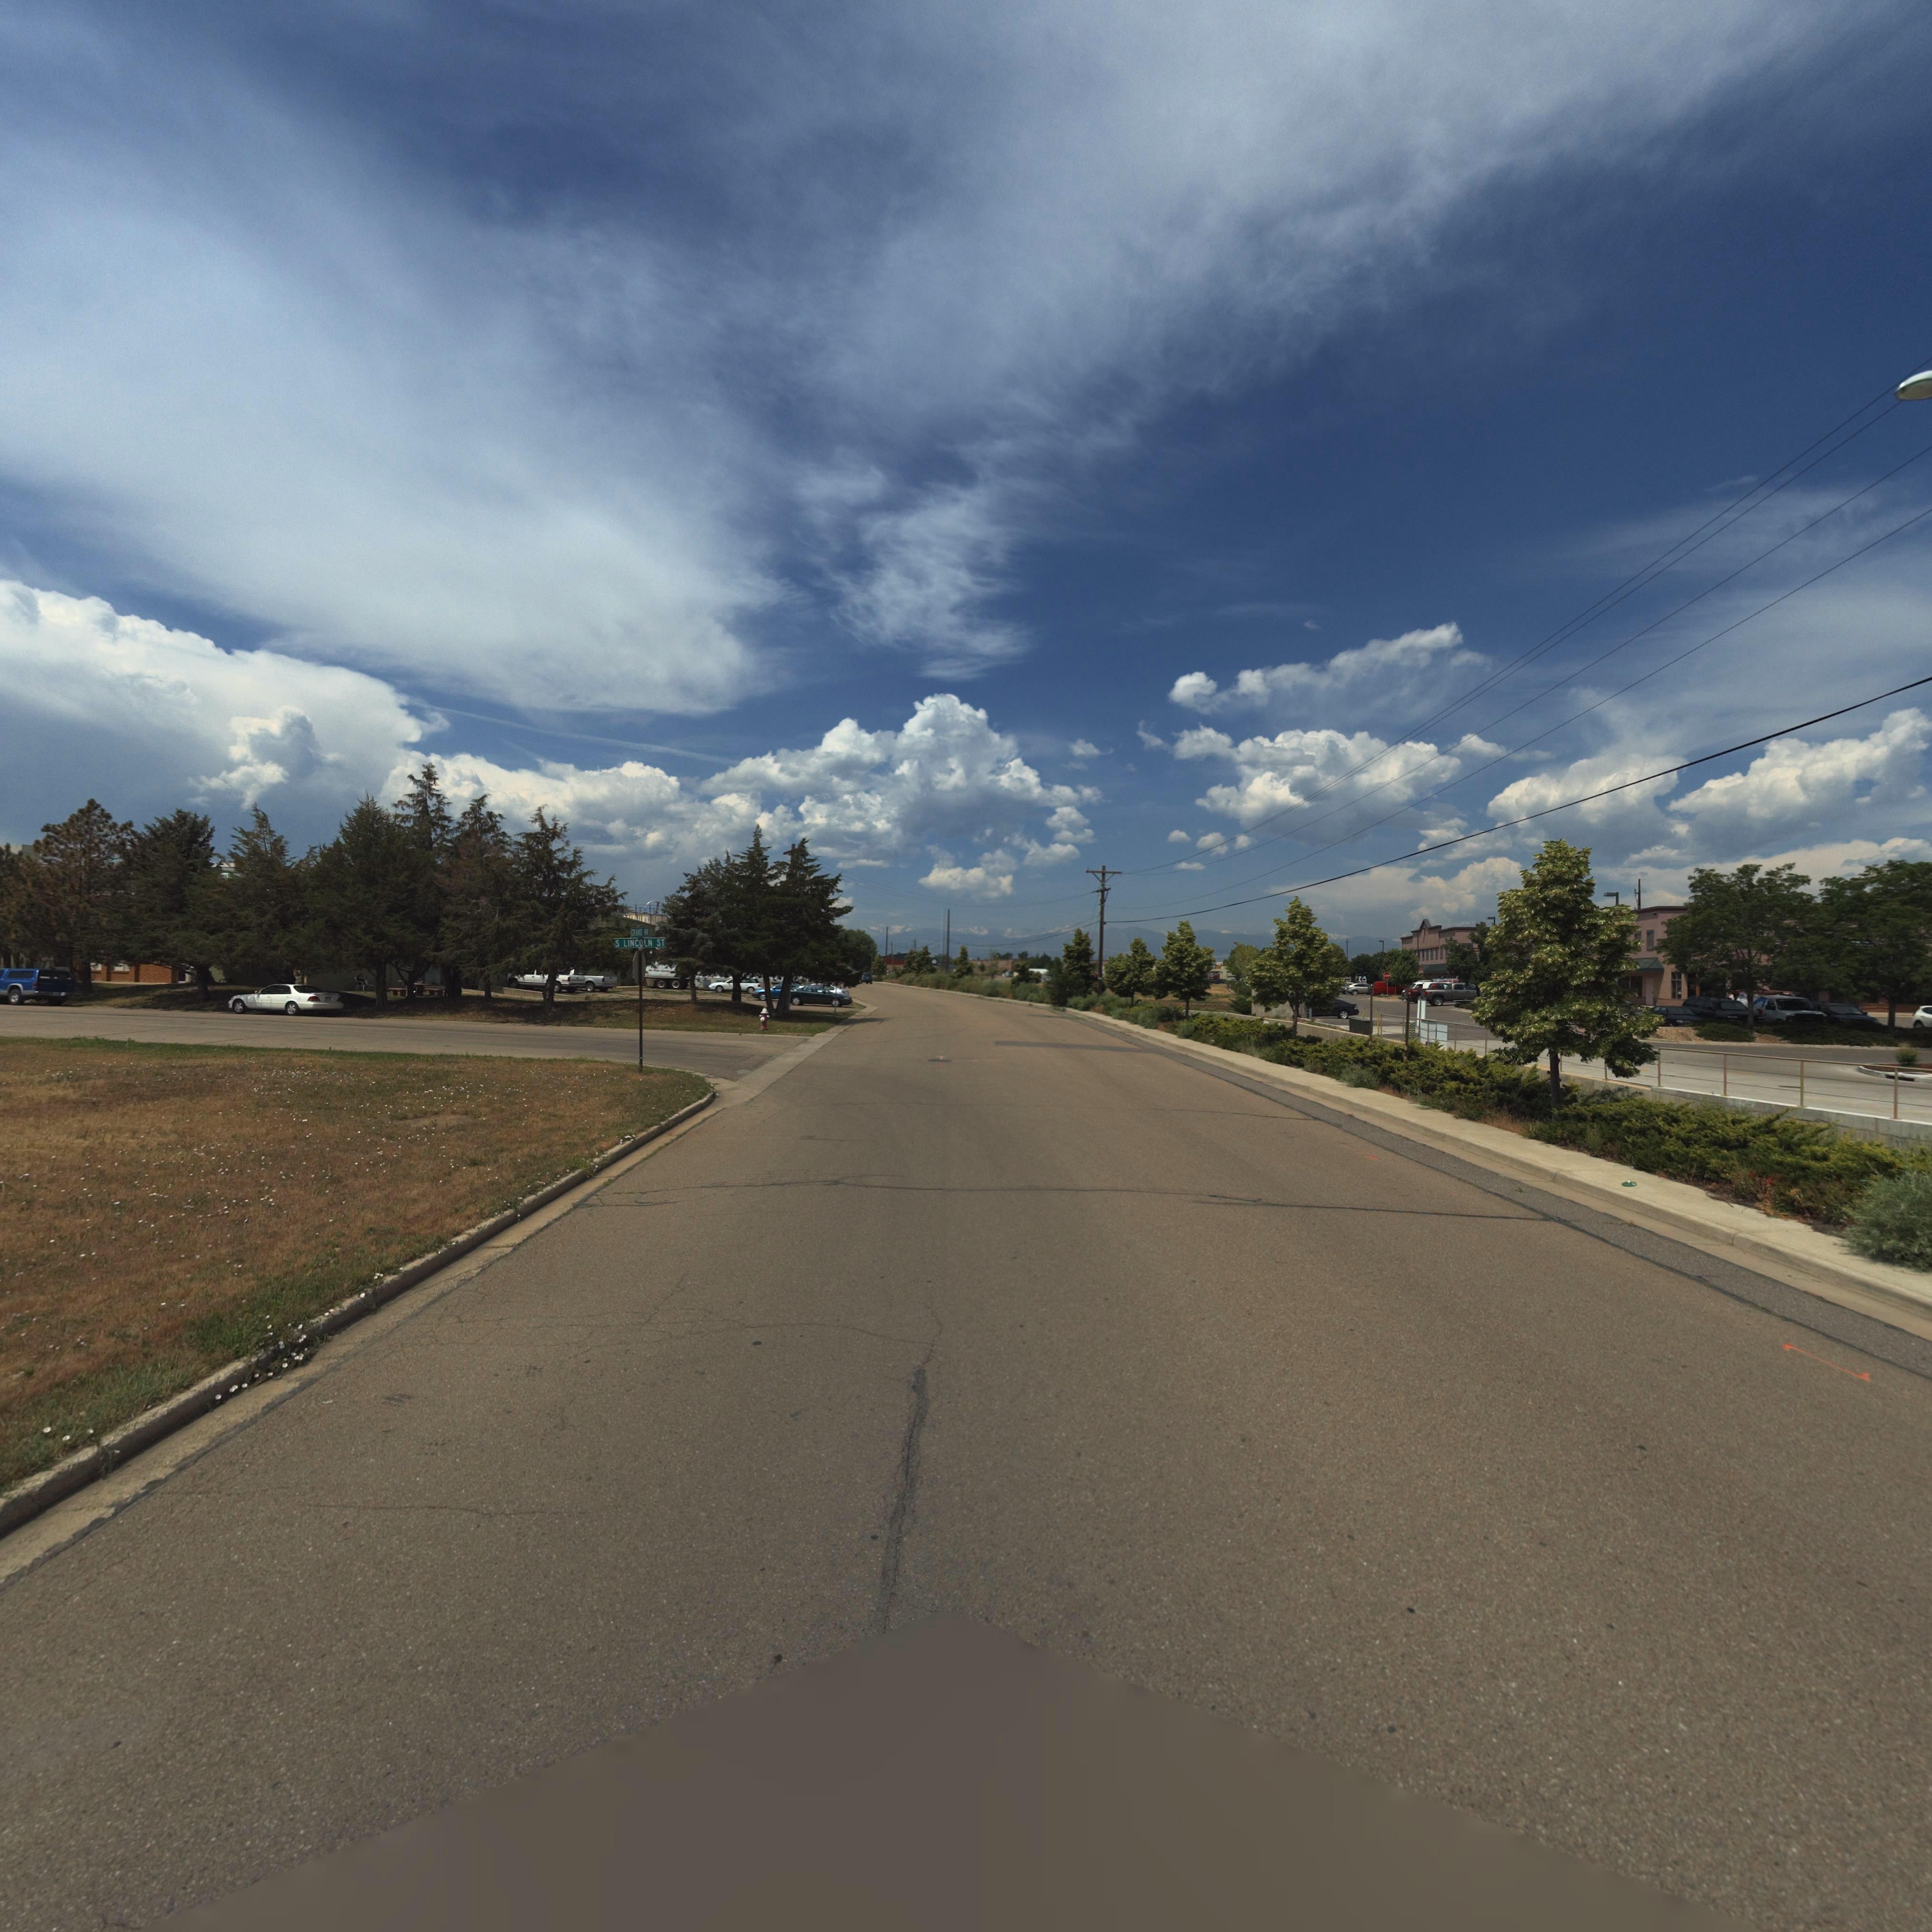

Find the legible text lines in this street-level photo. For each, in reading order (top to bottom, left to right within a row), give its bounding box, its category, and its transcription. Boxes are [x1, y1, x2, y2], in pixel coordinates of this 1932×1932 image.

[630, 927, 648, 937] StreetName: GRAND AV
[615, 939, 665, 948] StreetName: S LINOLN ST